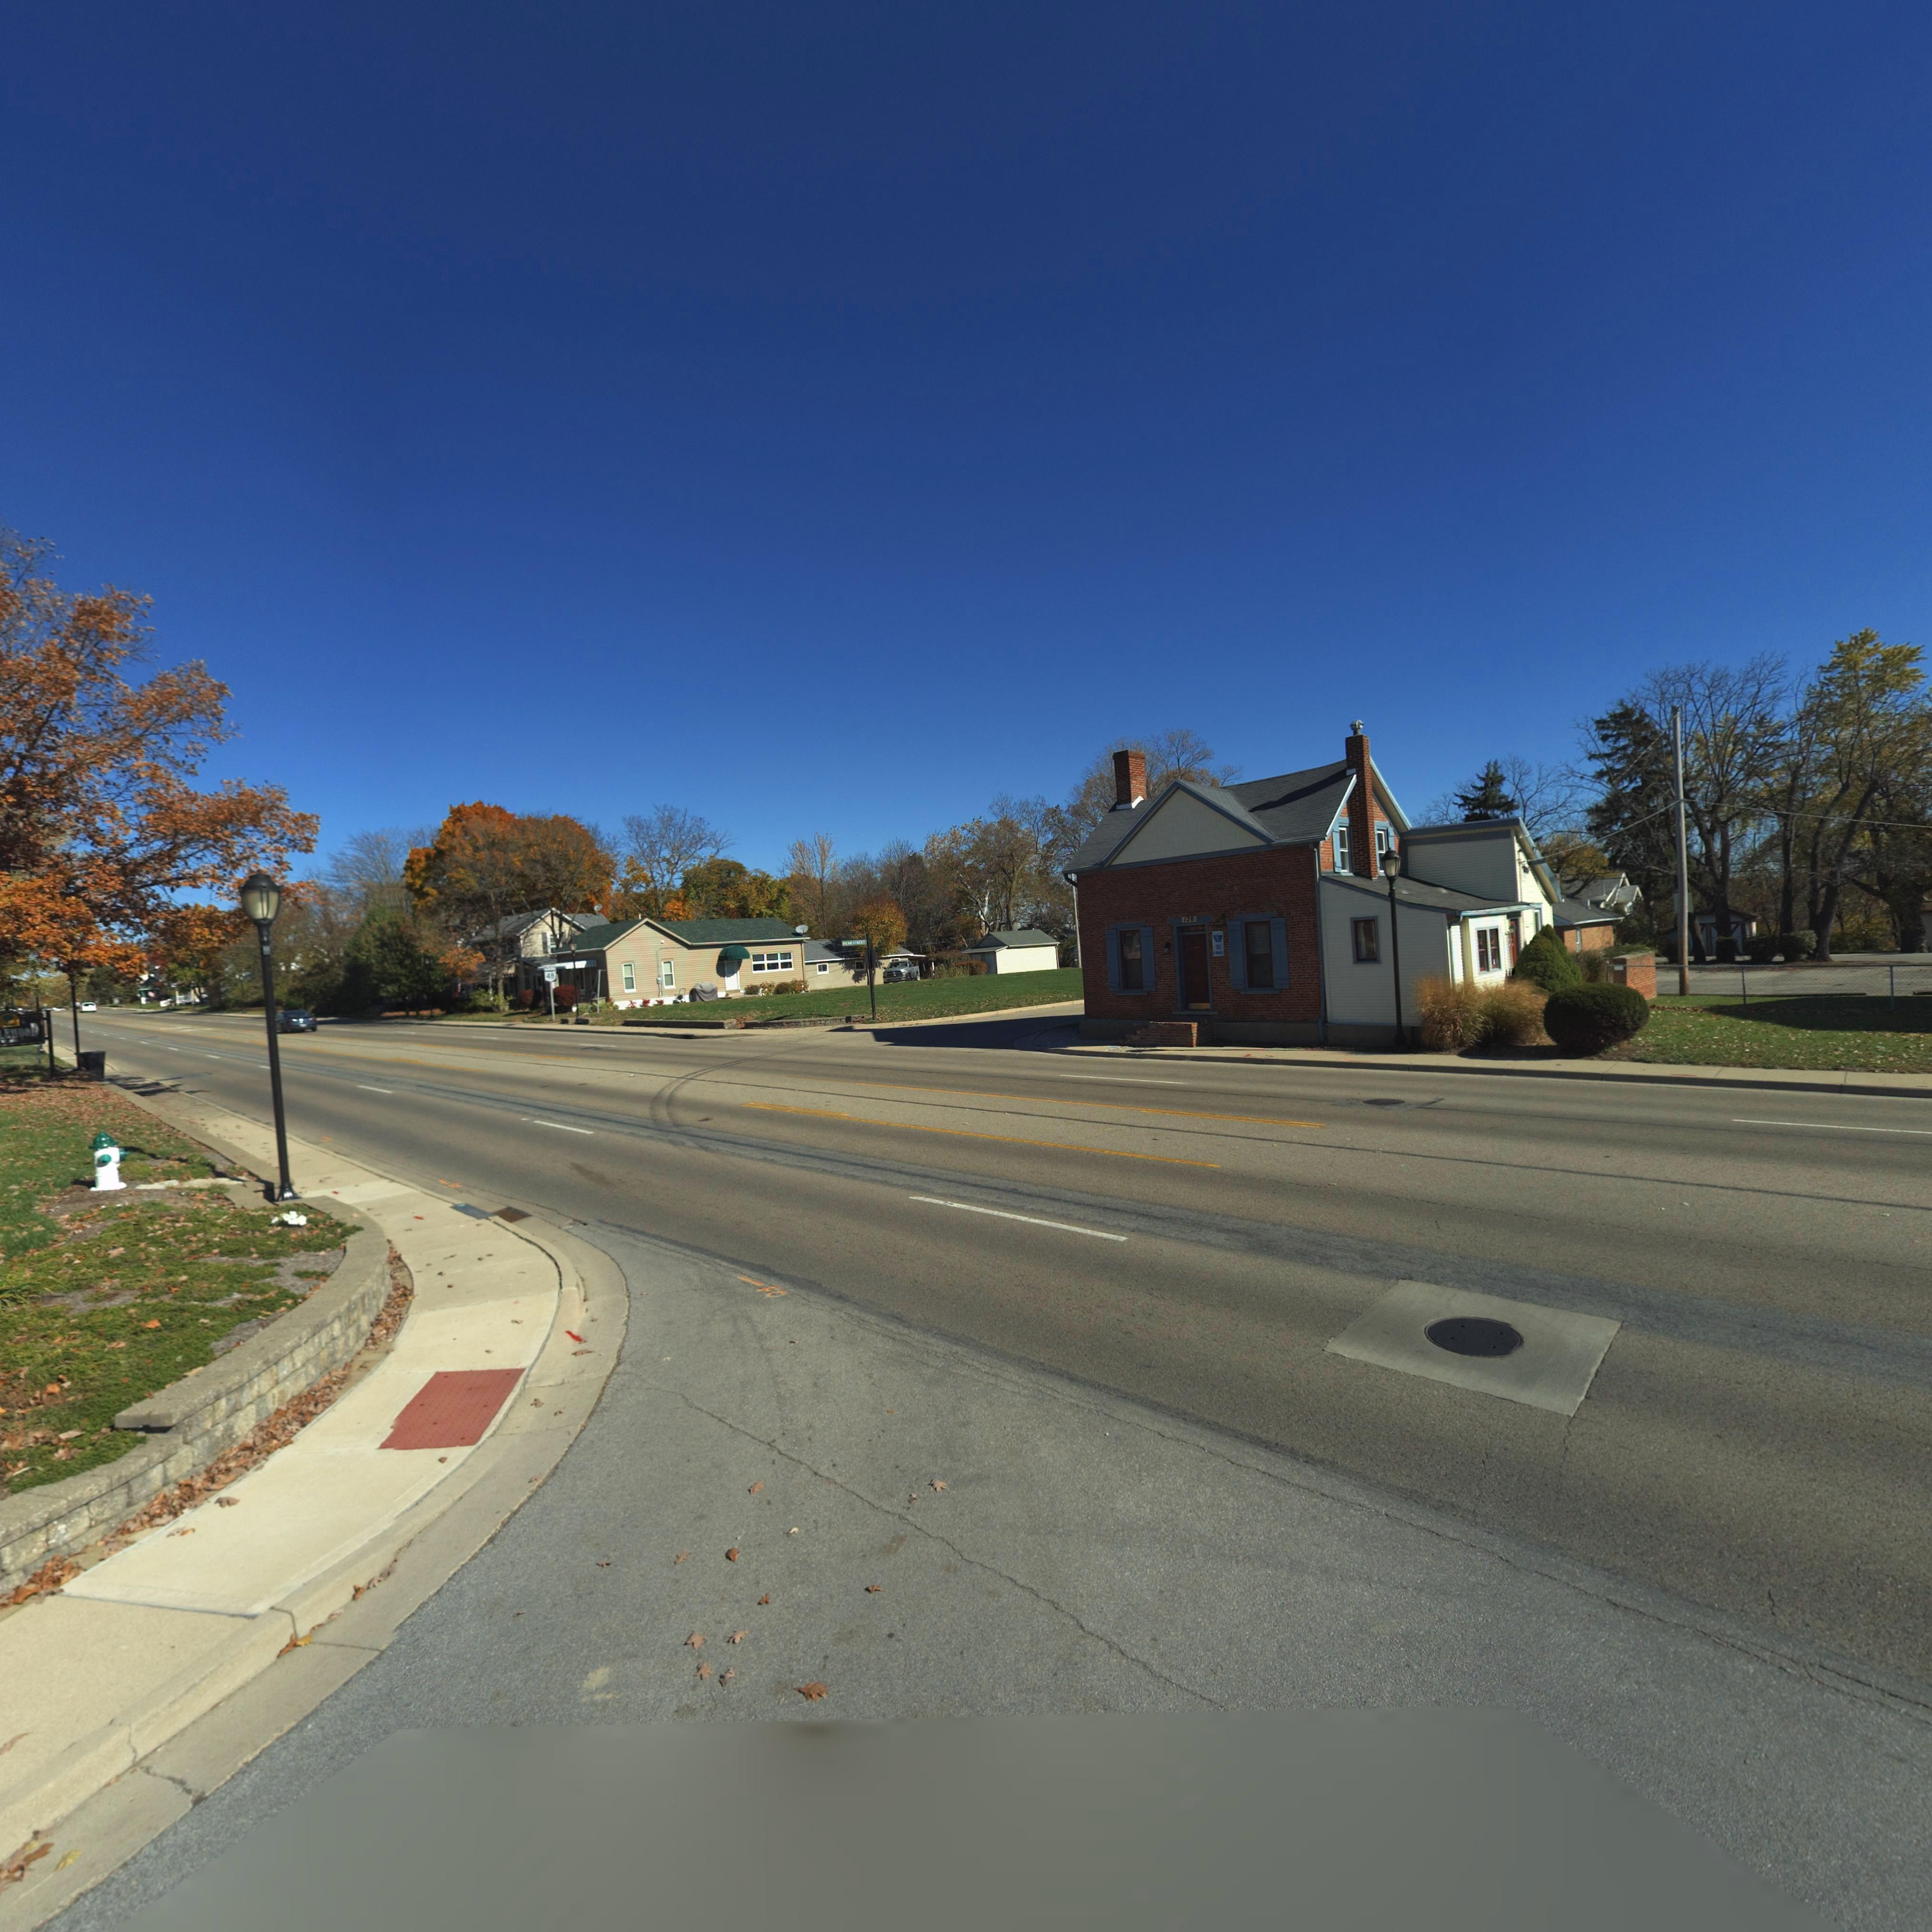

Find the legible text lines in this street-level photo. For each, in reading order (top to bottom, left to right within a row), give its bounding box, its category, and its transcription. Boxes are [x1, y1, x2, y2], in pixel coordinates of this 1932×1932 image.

[1183, 916, 1194, 922] StreetNumber: 120